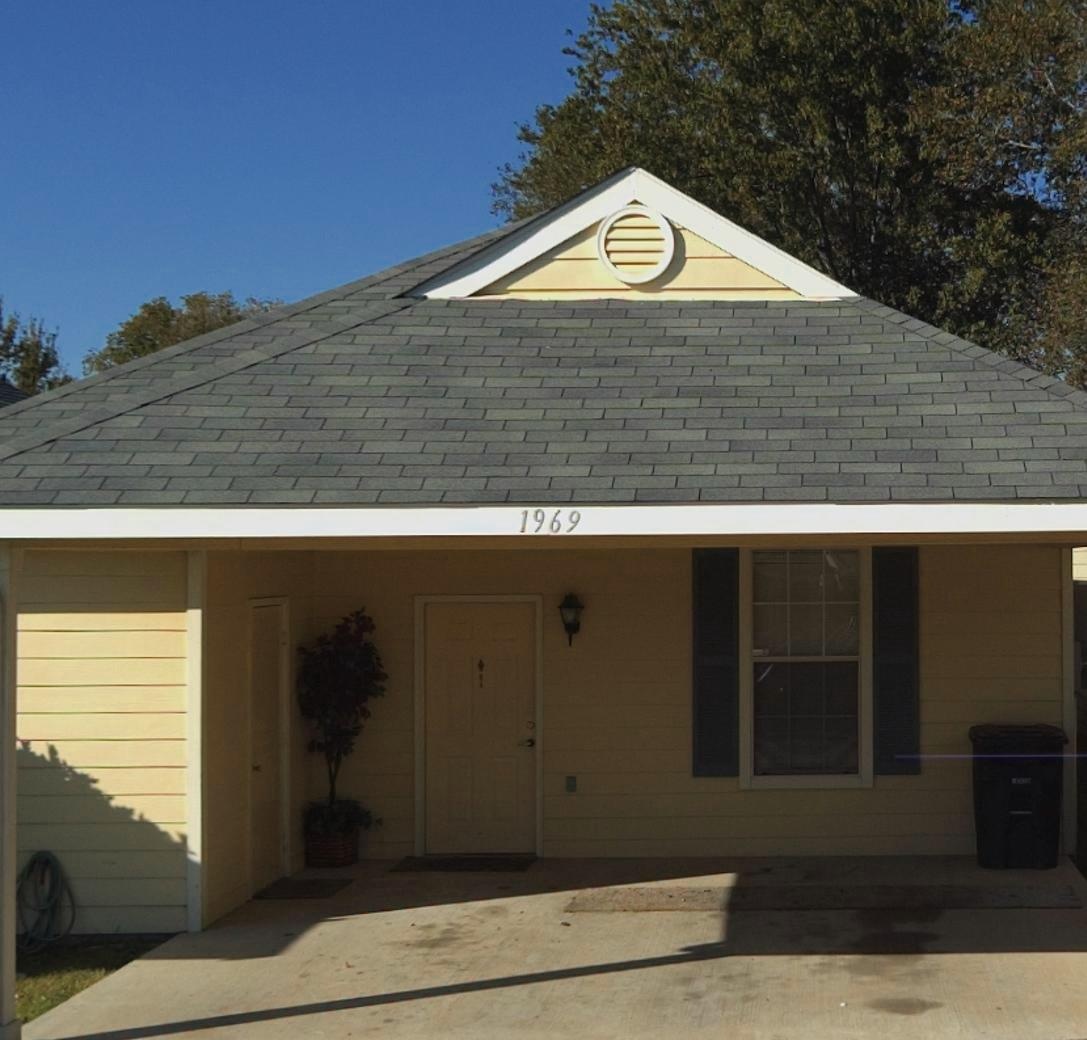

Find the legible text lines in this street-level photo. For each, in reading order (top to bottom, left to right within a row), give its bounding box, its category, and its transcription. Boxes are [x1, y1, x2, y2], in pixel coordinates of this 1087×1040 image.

[517, 508, 583, 535] StreetNumber: 1969